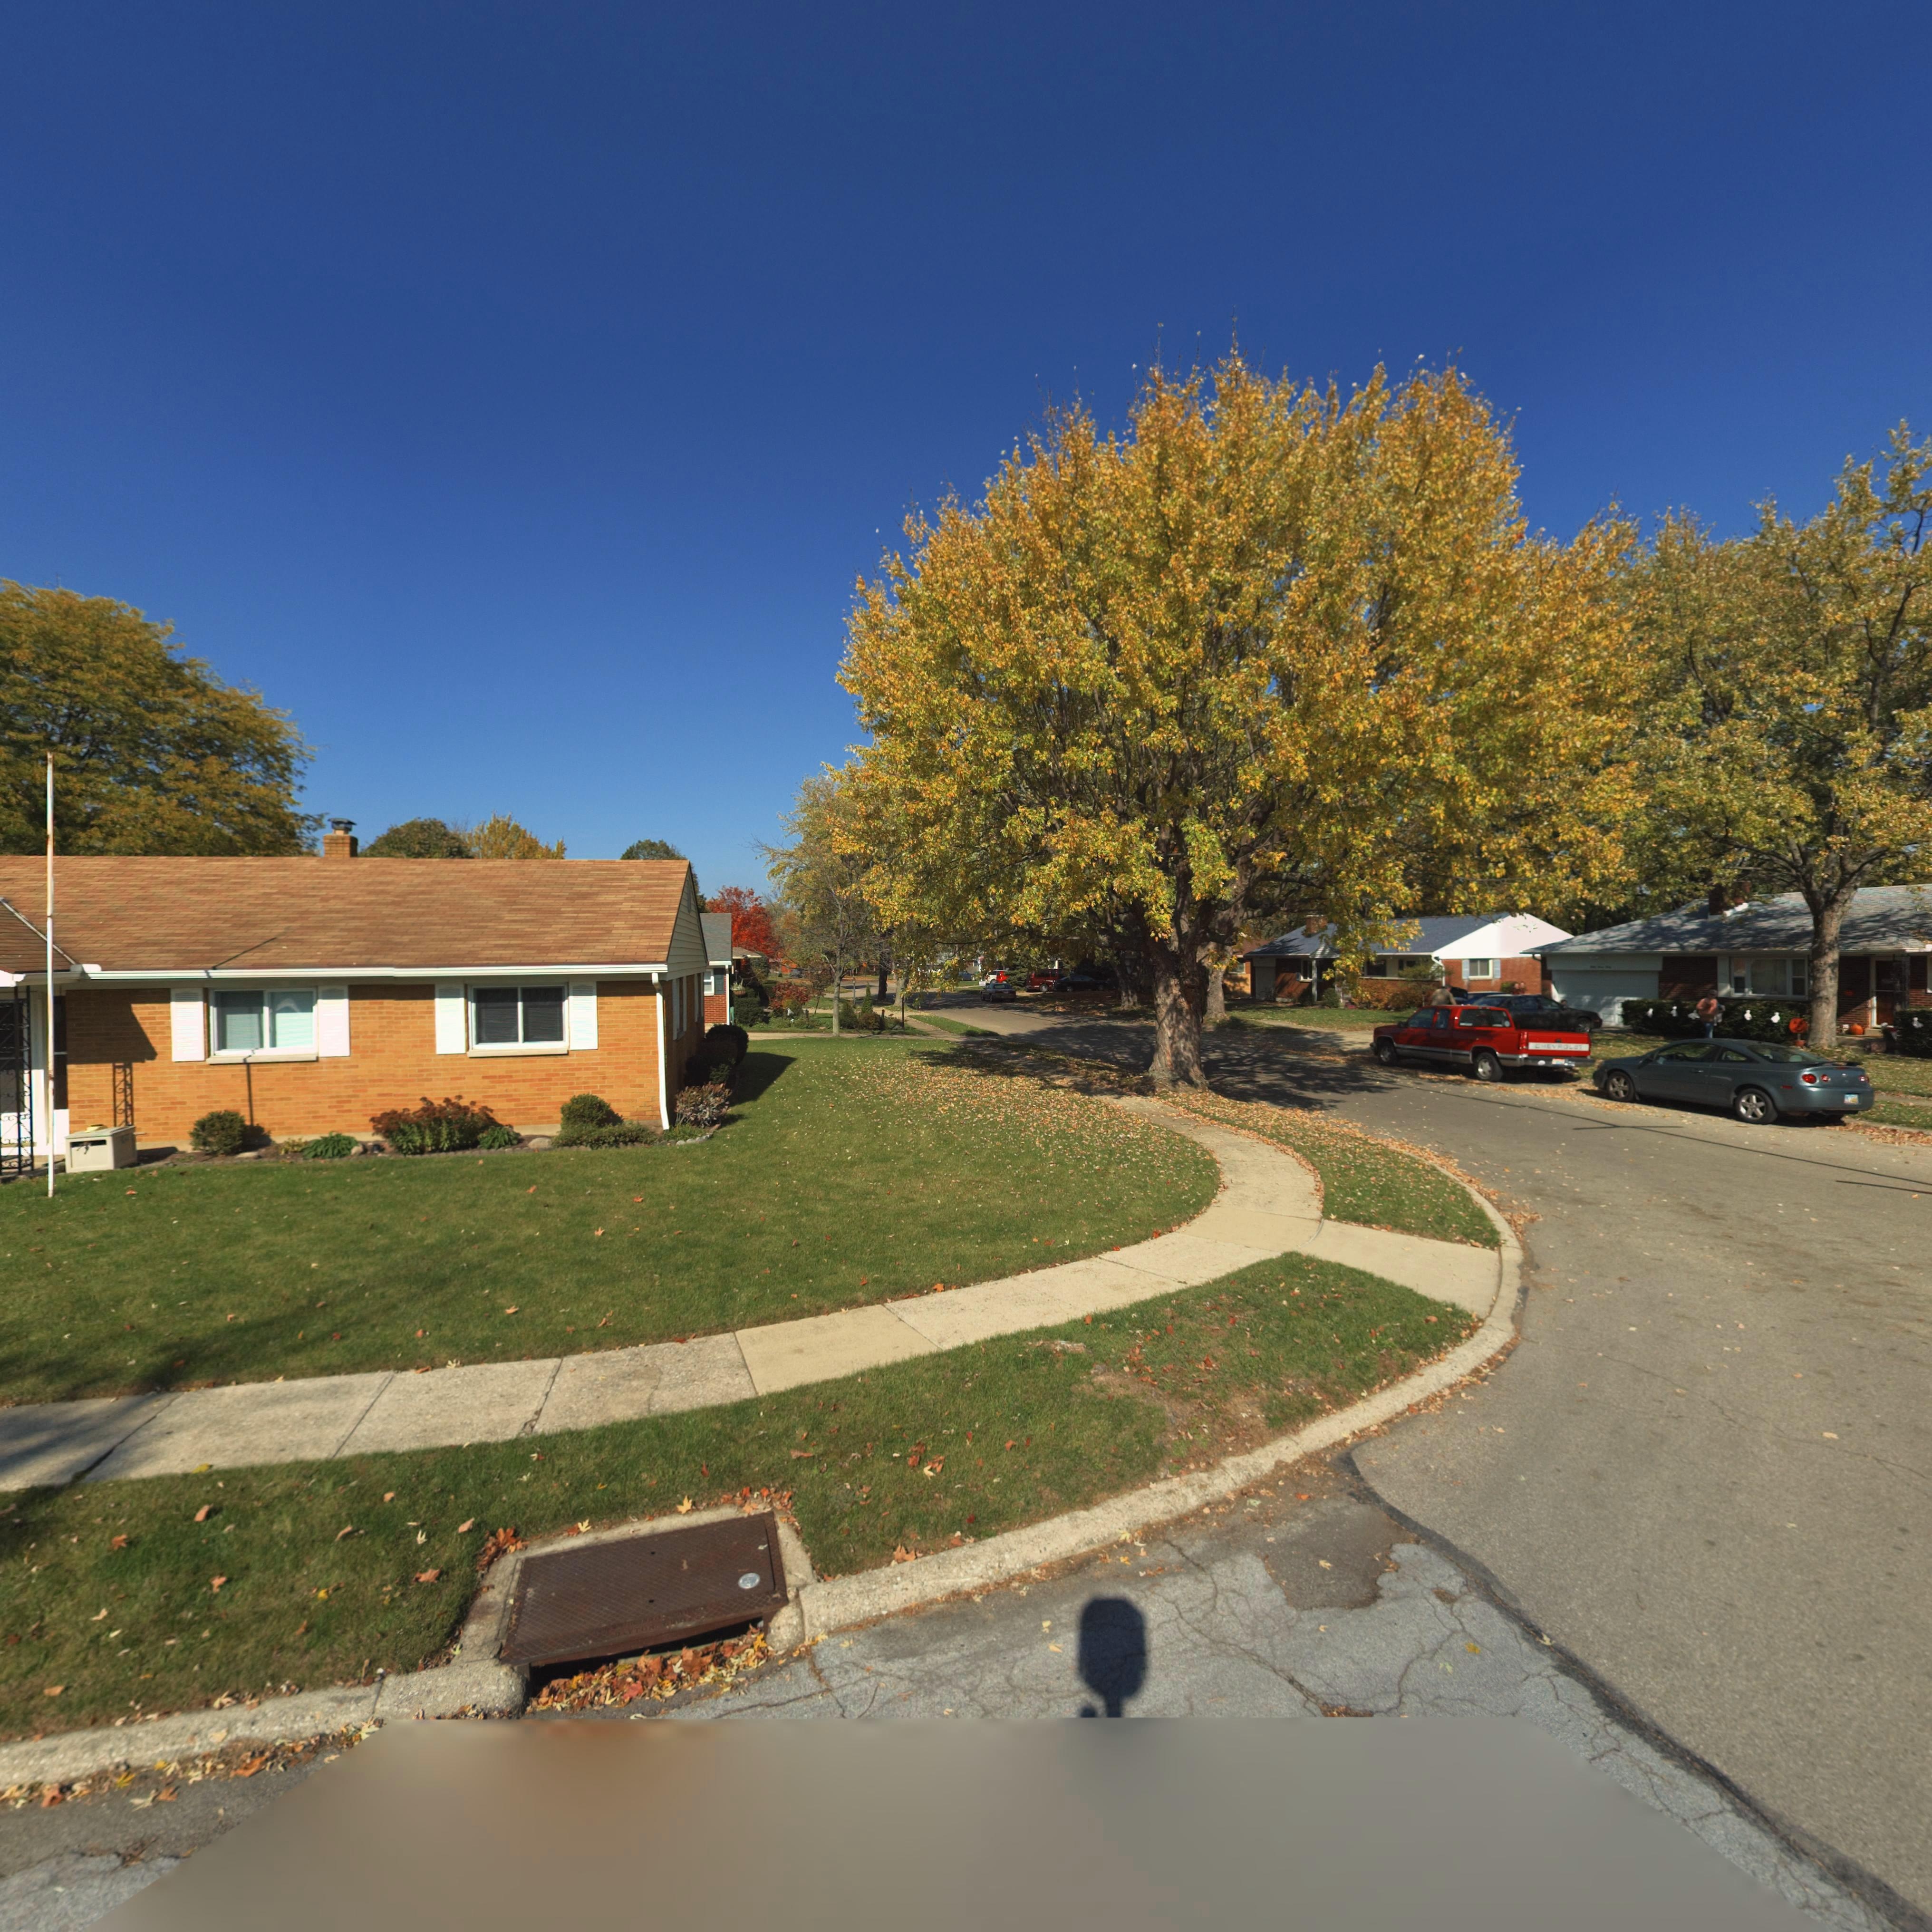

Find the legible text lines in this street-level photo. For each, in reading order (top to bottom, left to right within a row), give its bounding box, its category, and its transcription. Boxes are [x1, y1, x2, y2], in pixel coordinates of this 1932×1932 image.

[1535, 1043, 1584, 1050] None: CHEVROLET